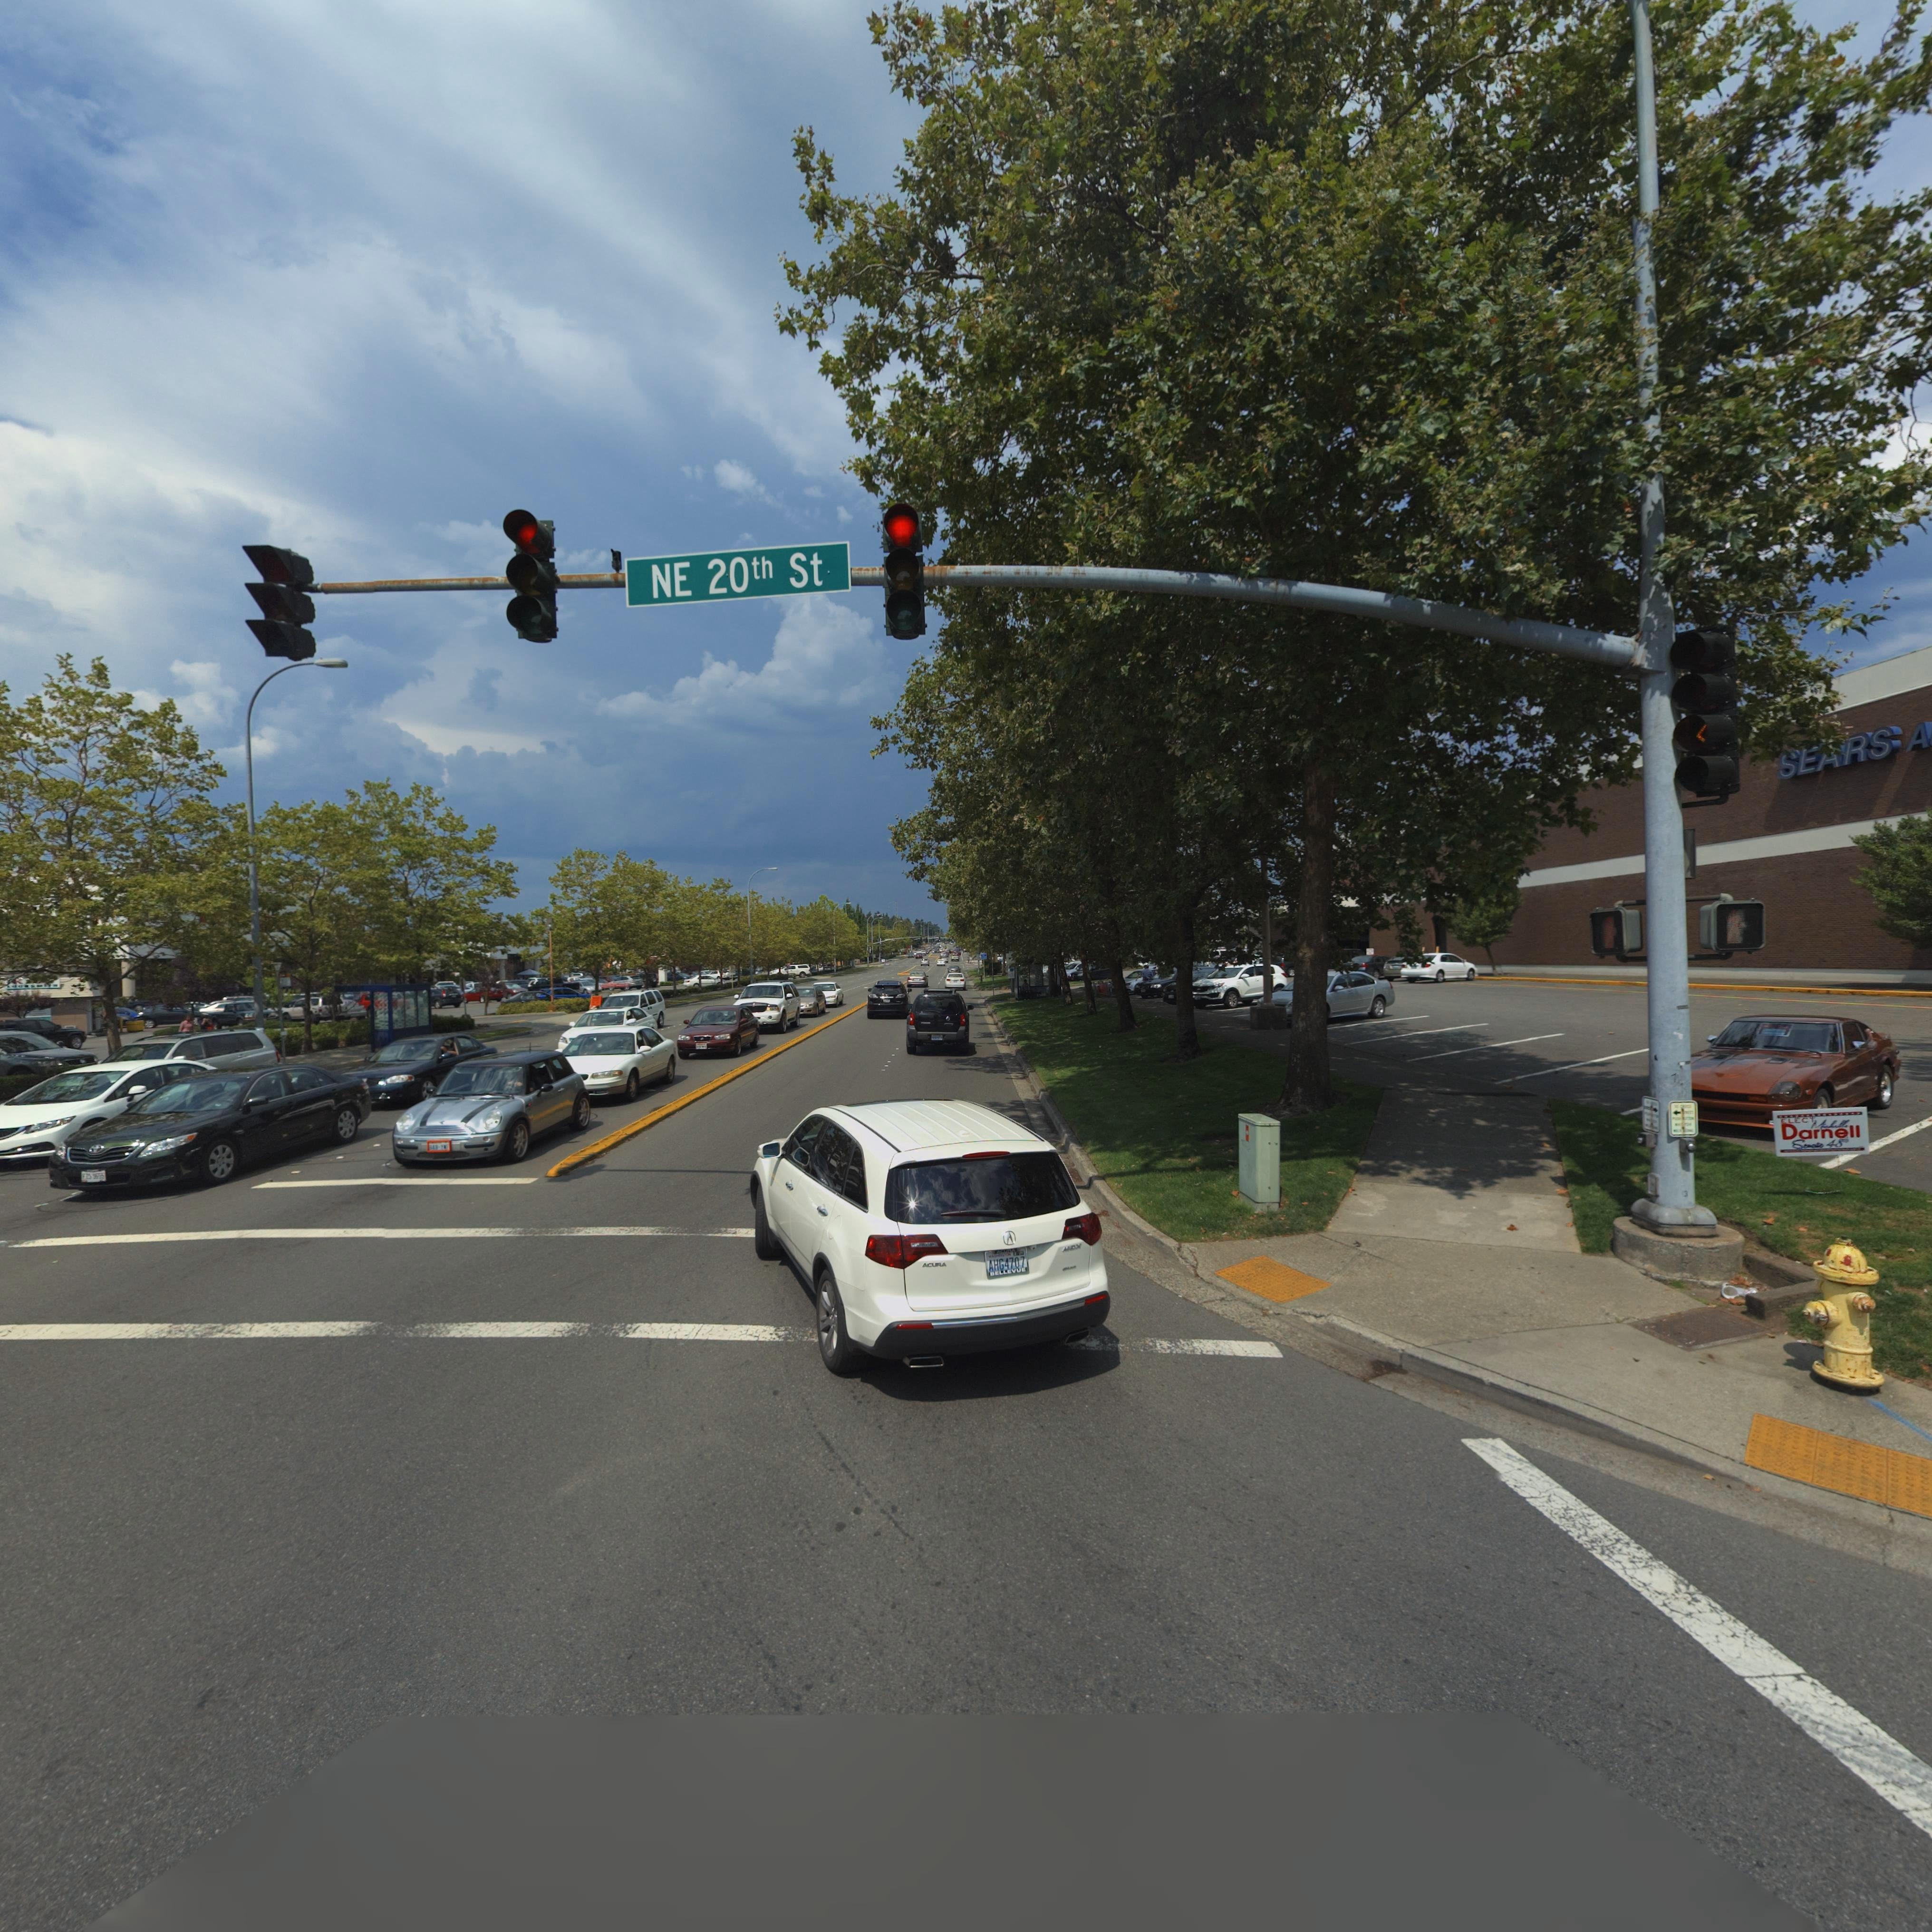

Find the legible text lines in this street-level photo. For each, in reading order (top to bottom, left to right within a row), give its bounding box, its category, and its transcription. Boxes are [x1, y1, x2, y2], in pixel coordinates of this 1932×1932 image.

[651, 552, 823, 598] StreetName: NE 20th St
[1774, 719, 1930, 780] BusinessName: SEARS A